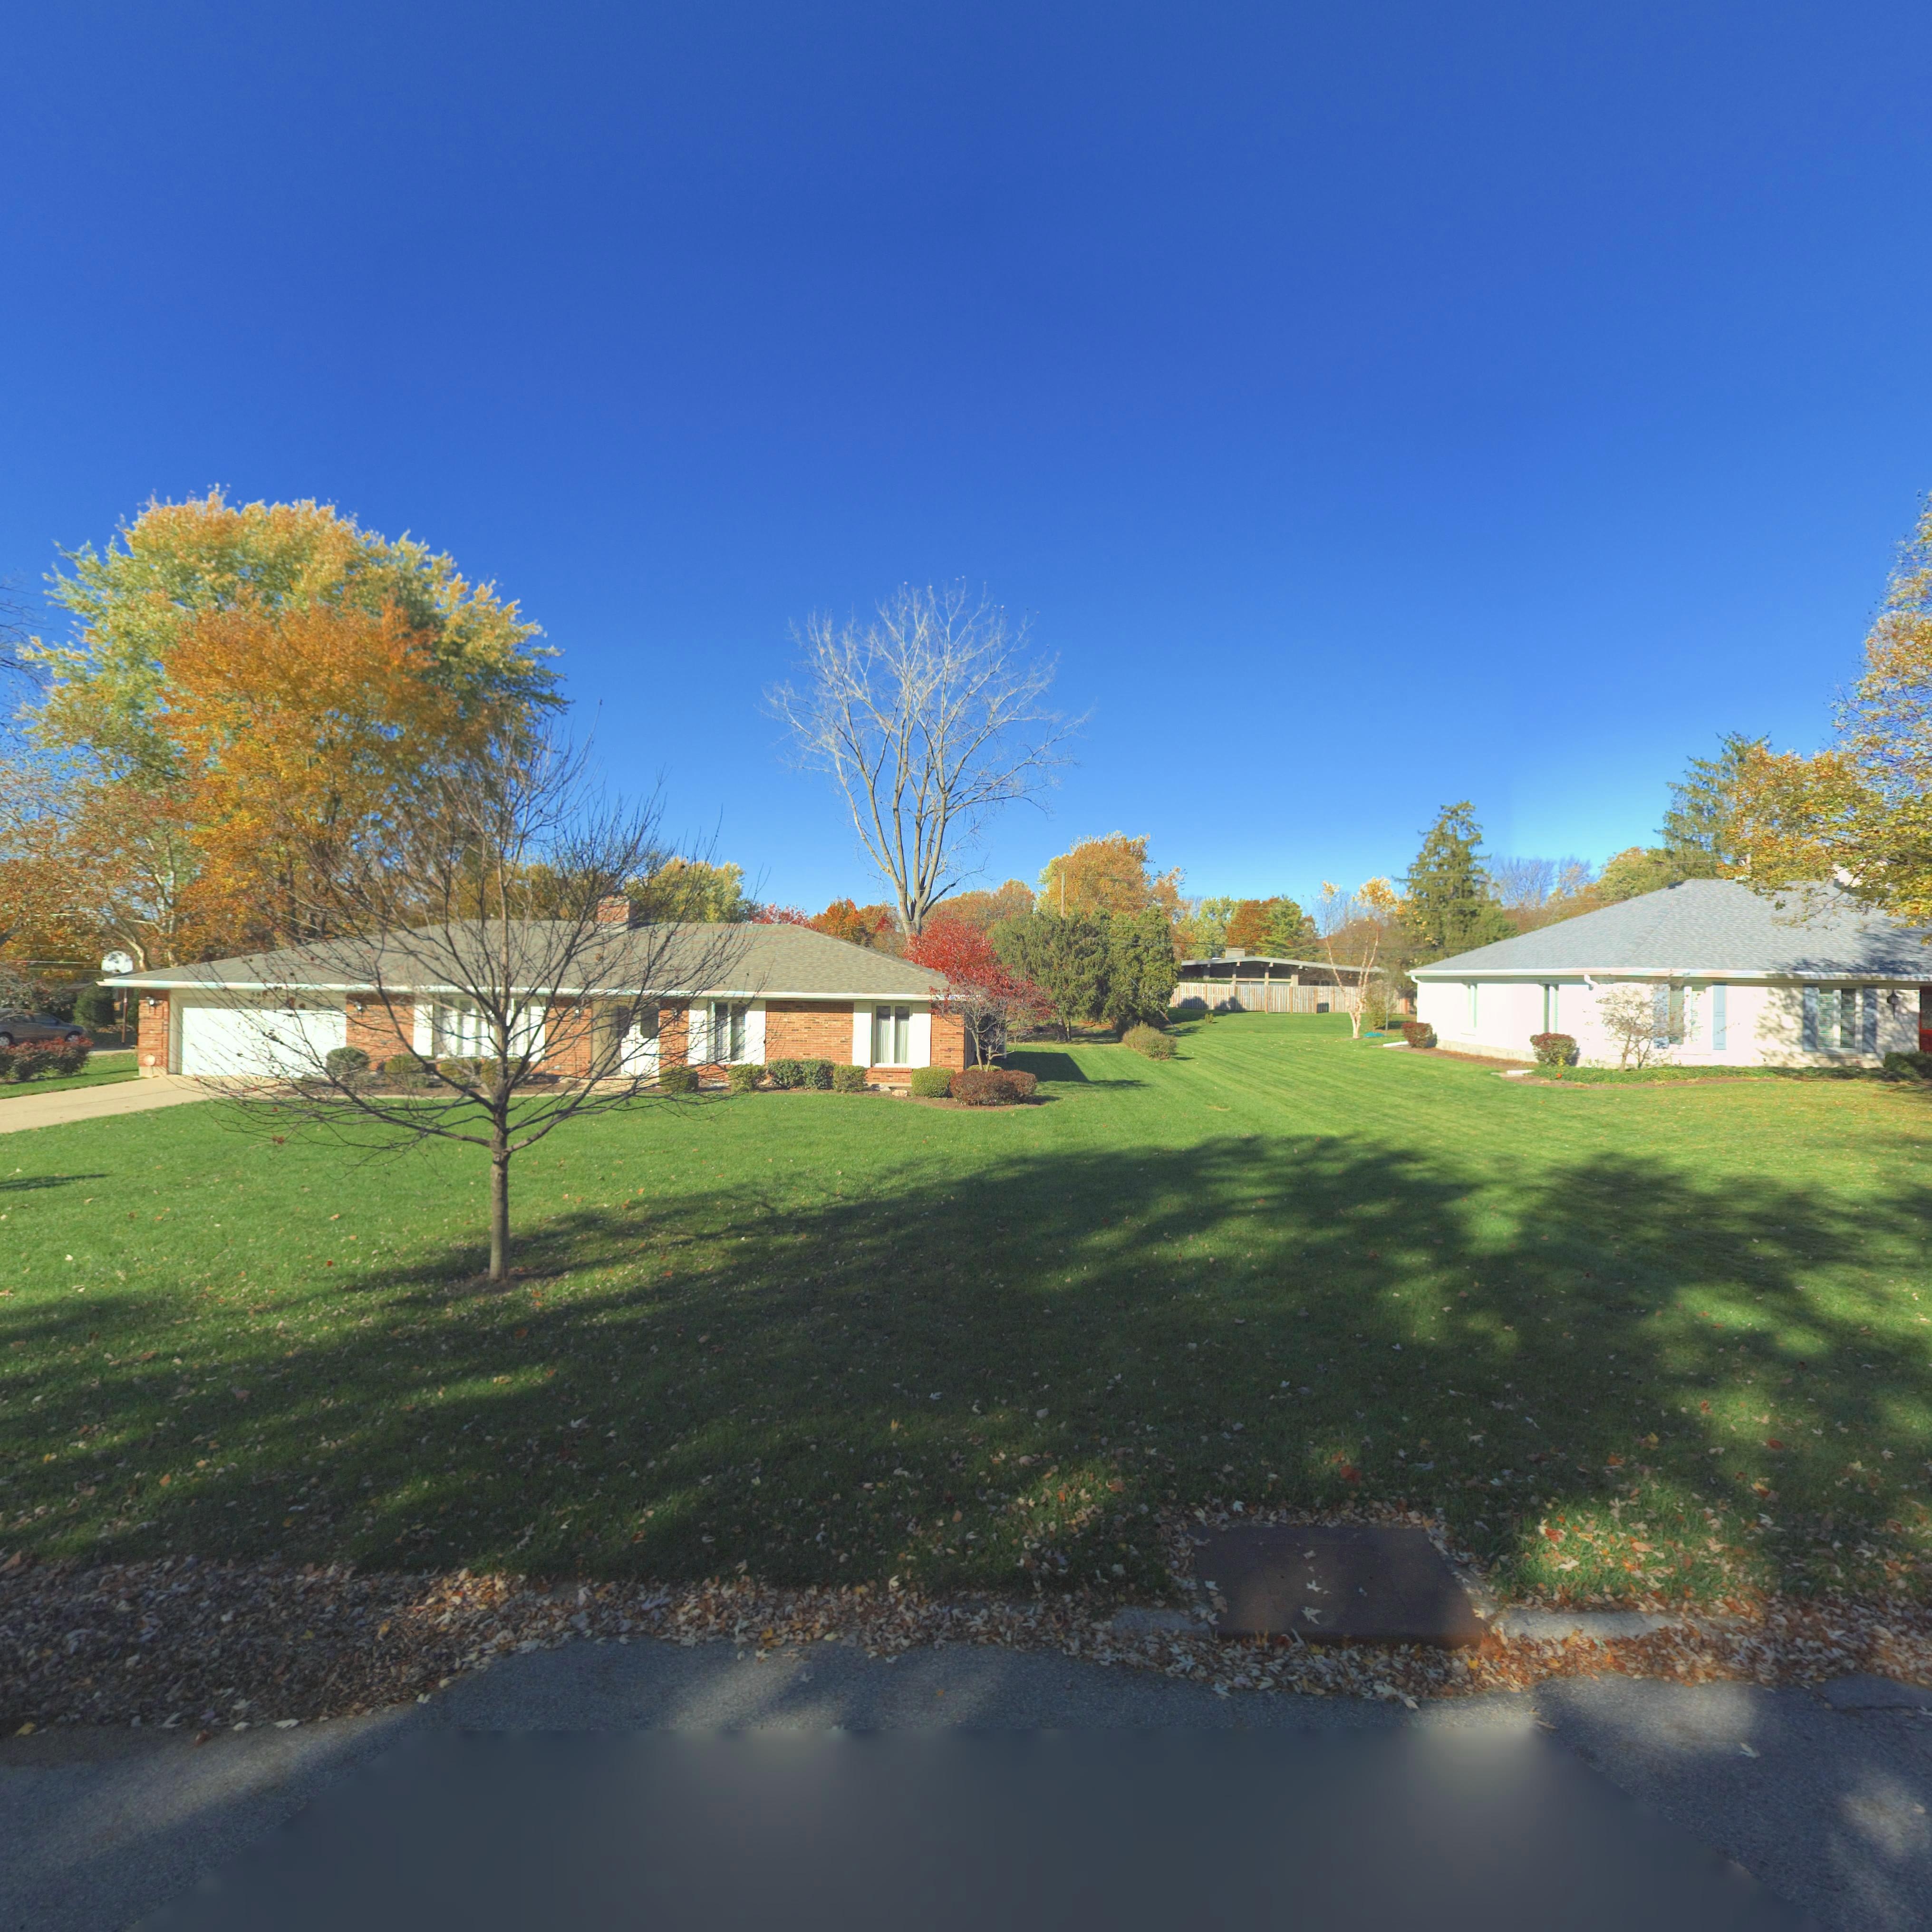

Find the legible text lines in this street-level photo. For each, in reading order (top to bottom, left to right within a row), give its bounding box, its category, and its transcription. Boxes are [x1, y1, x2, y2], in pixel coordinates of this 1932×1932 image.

[250, 991, 268, 999] StreetNumber: 581